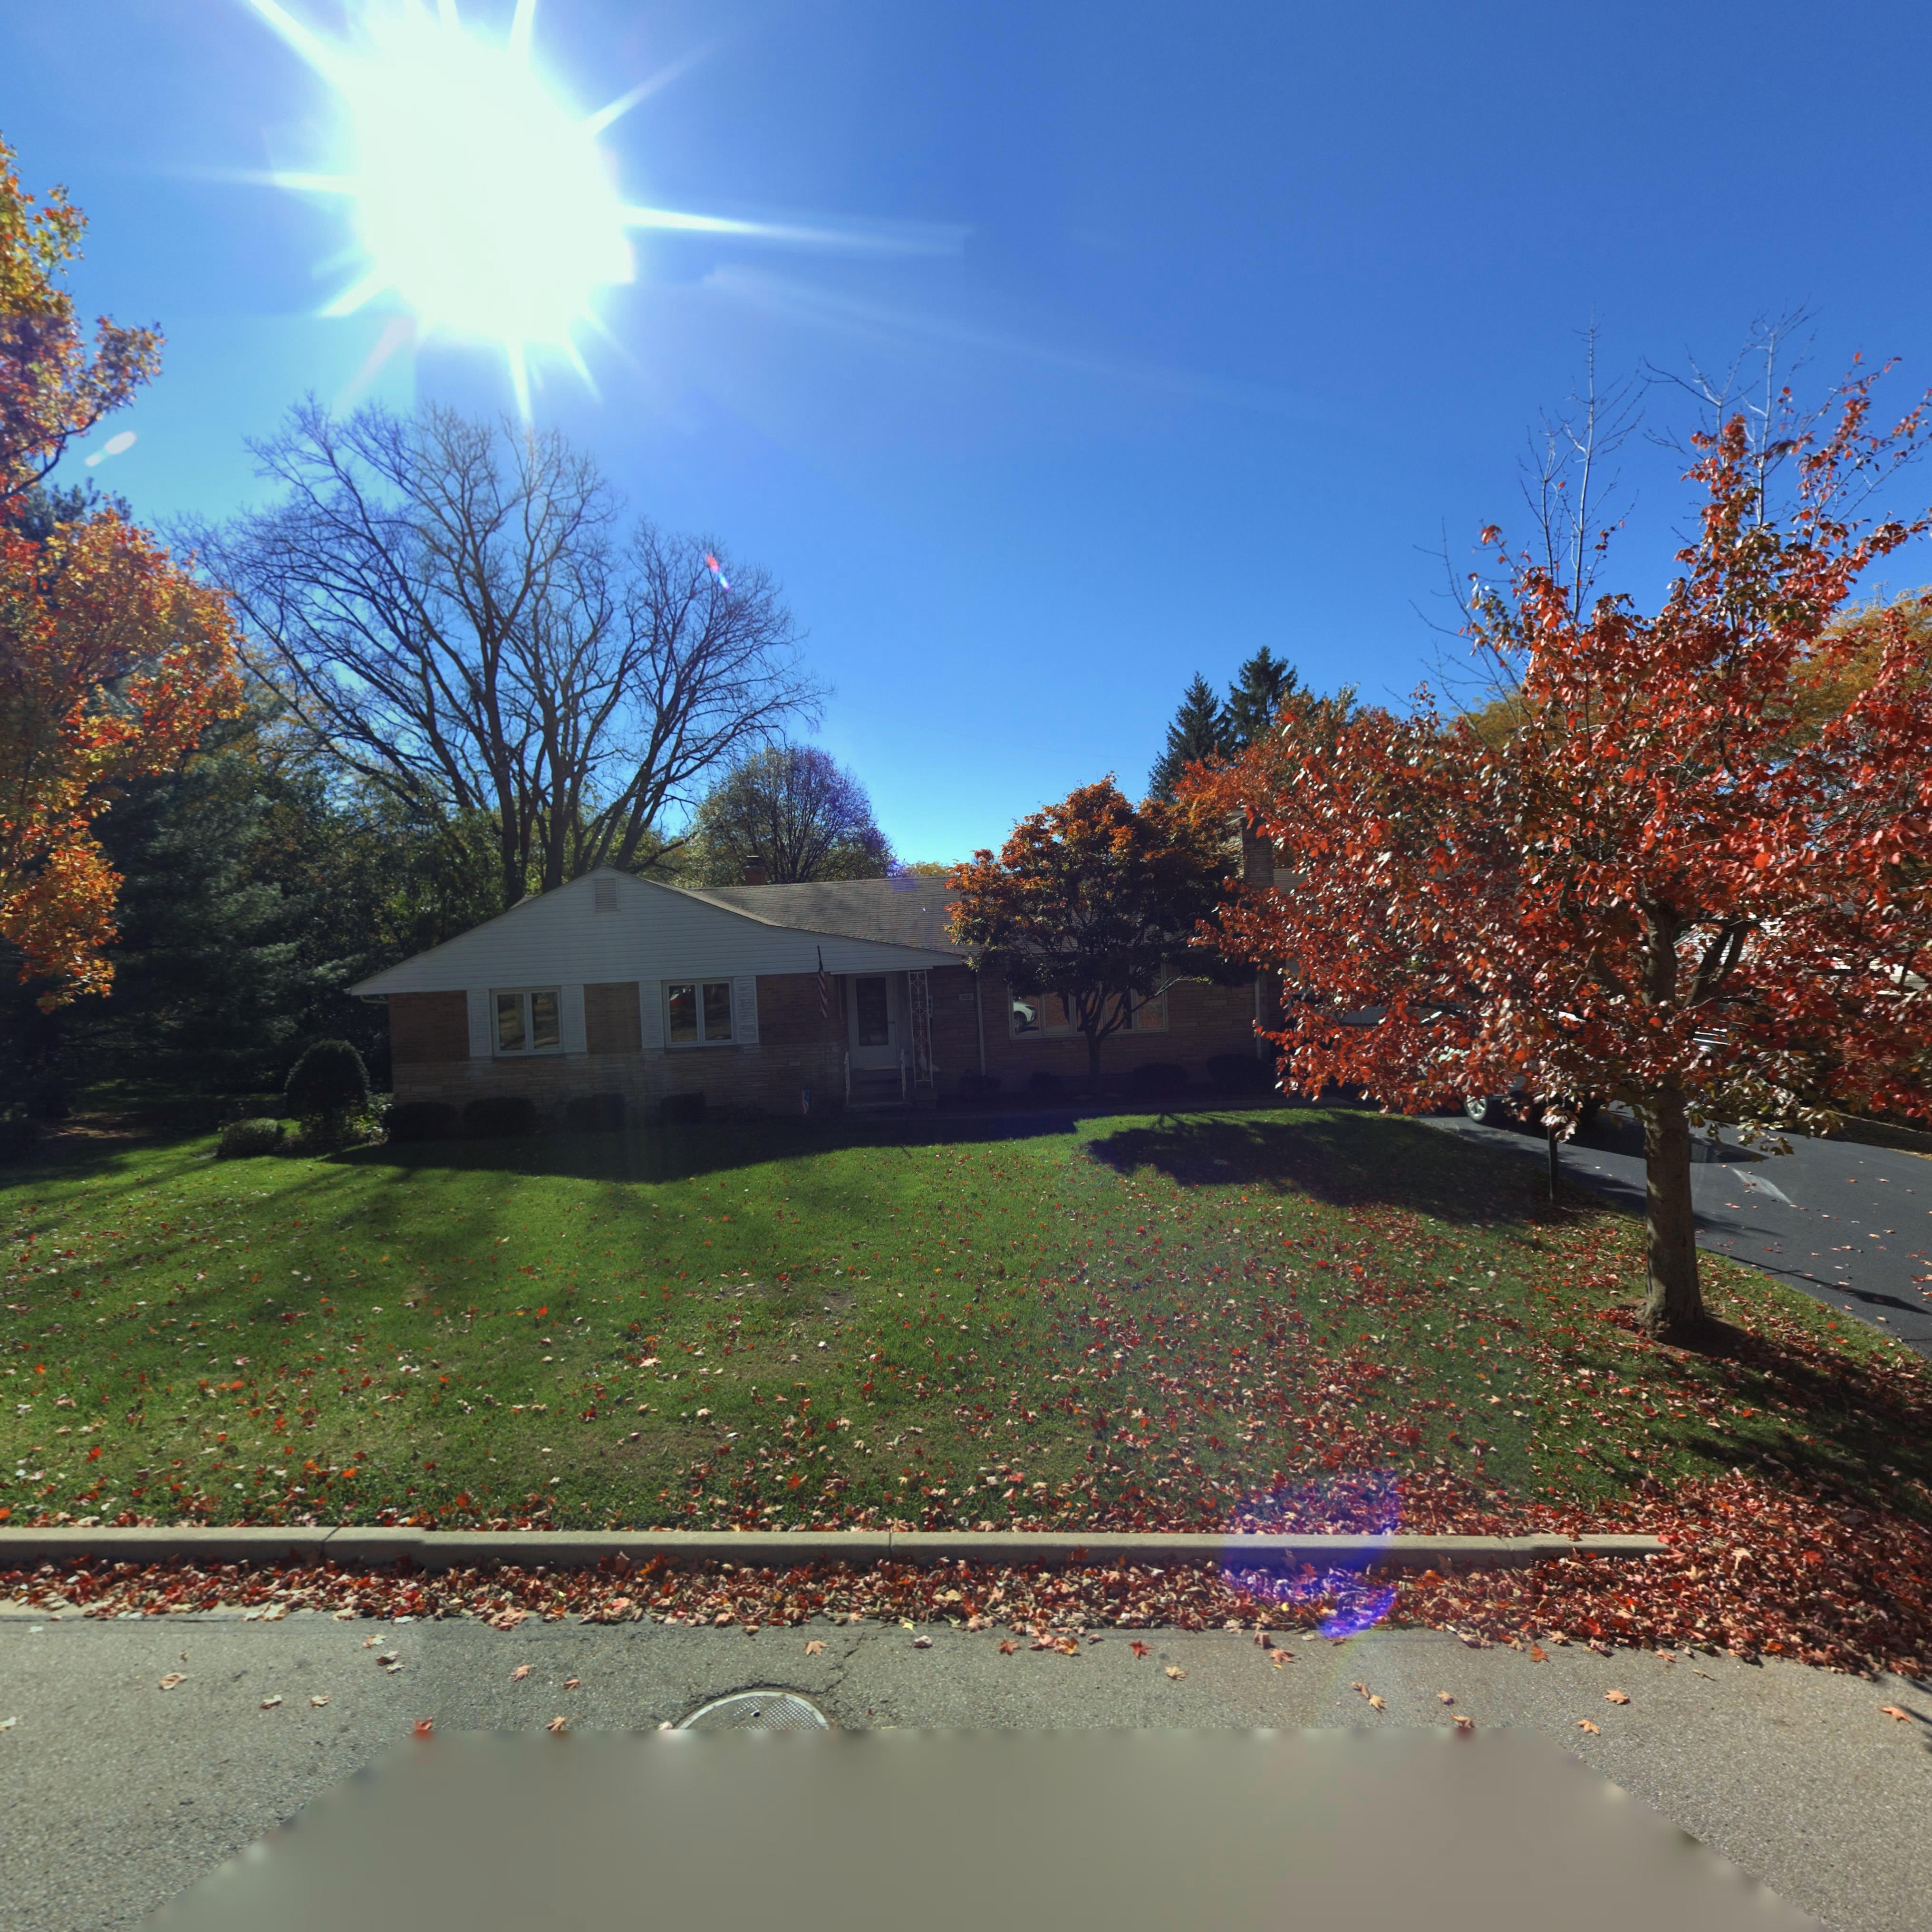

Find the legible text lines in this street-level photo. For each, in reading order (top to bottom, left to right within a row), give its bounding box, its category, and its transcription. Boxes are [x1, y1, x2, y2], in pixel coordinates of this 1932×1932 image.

[961, 994, 970, 1000] StreetNumber: 102